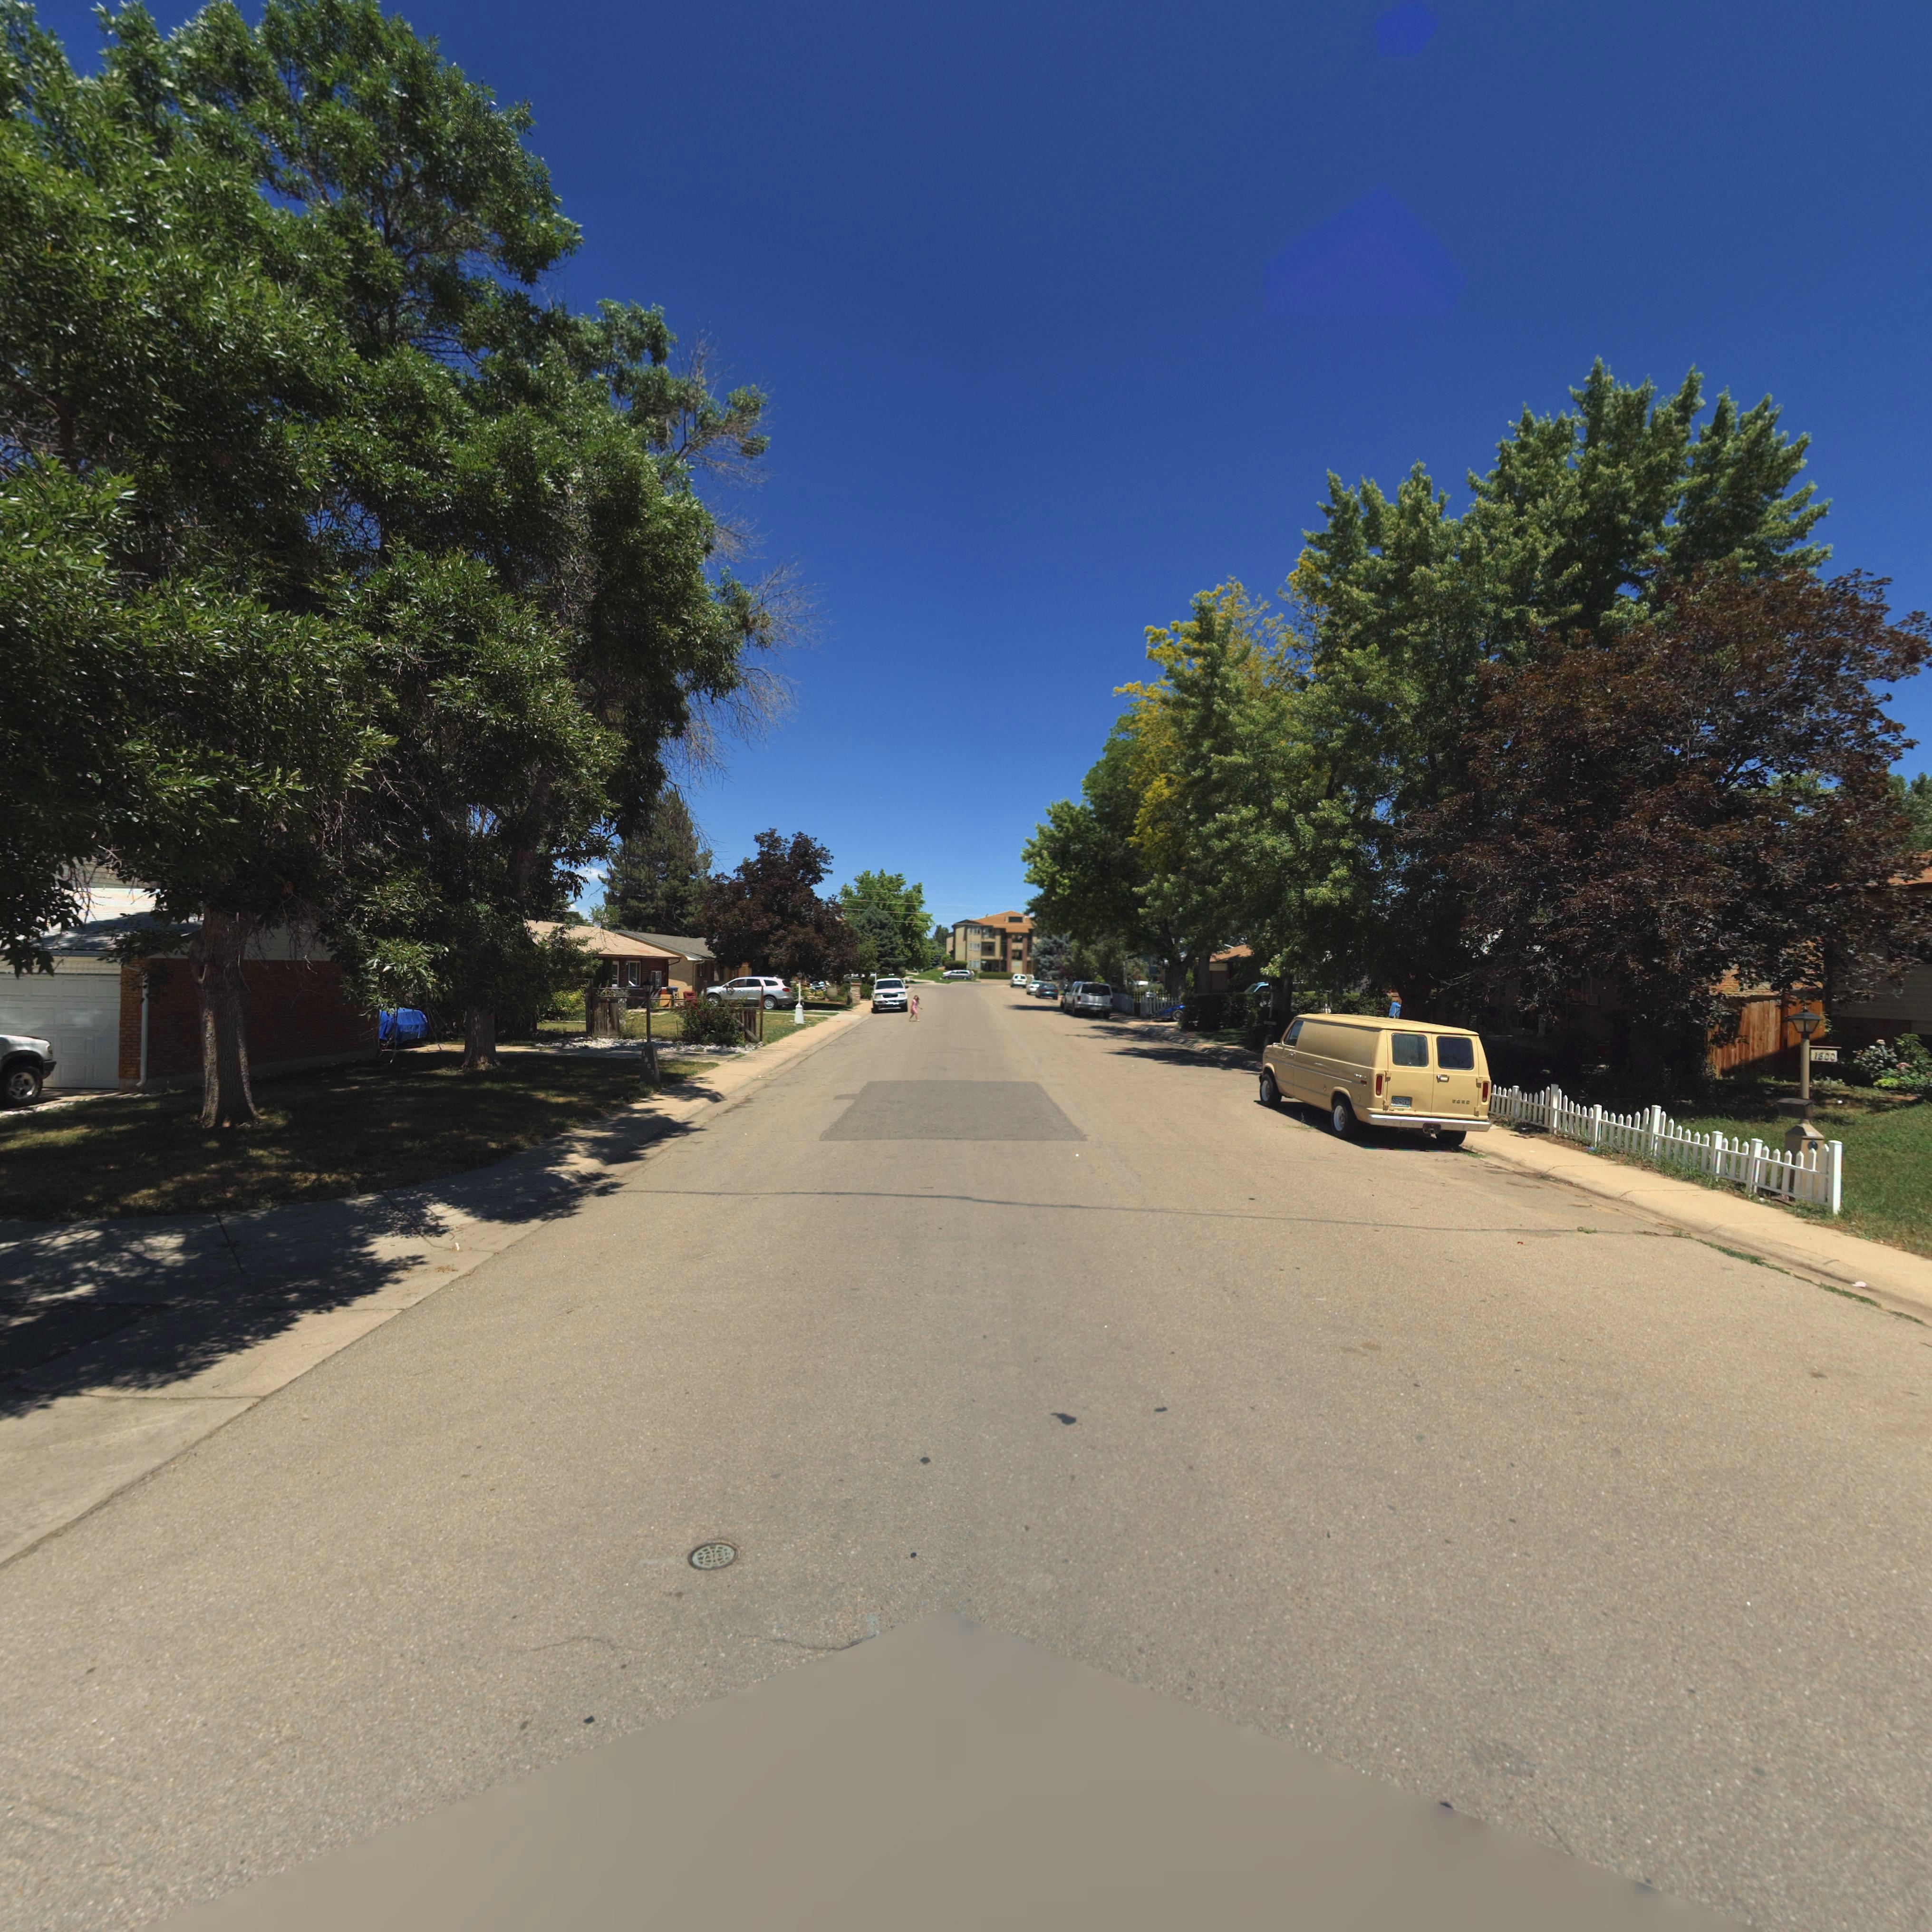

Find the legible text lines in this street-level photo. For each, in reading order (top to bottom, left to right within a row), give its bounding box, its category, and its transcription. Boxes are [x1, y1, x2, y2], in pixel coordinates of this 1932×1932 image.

[1815, 1052, 1835, 1061] StreetNumber: 1800